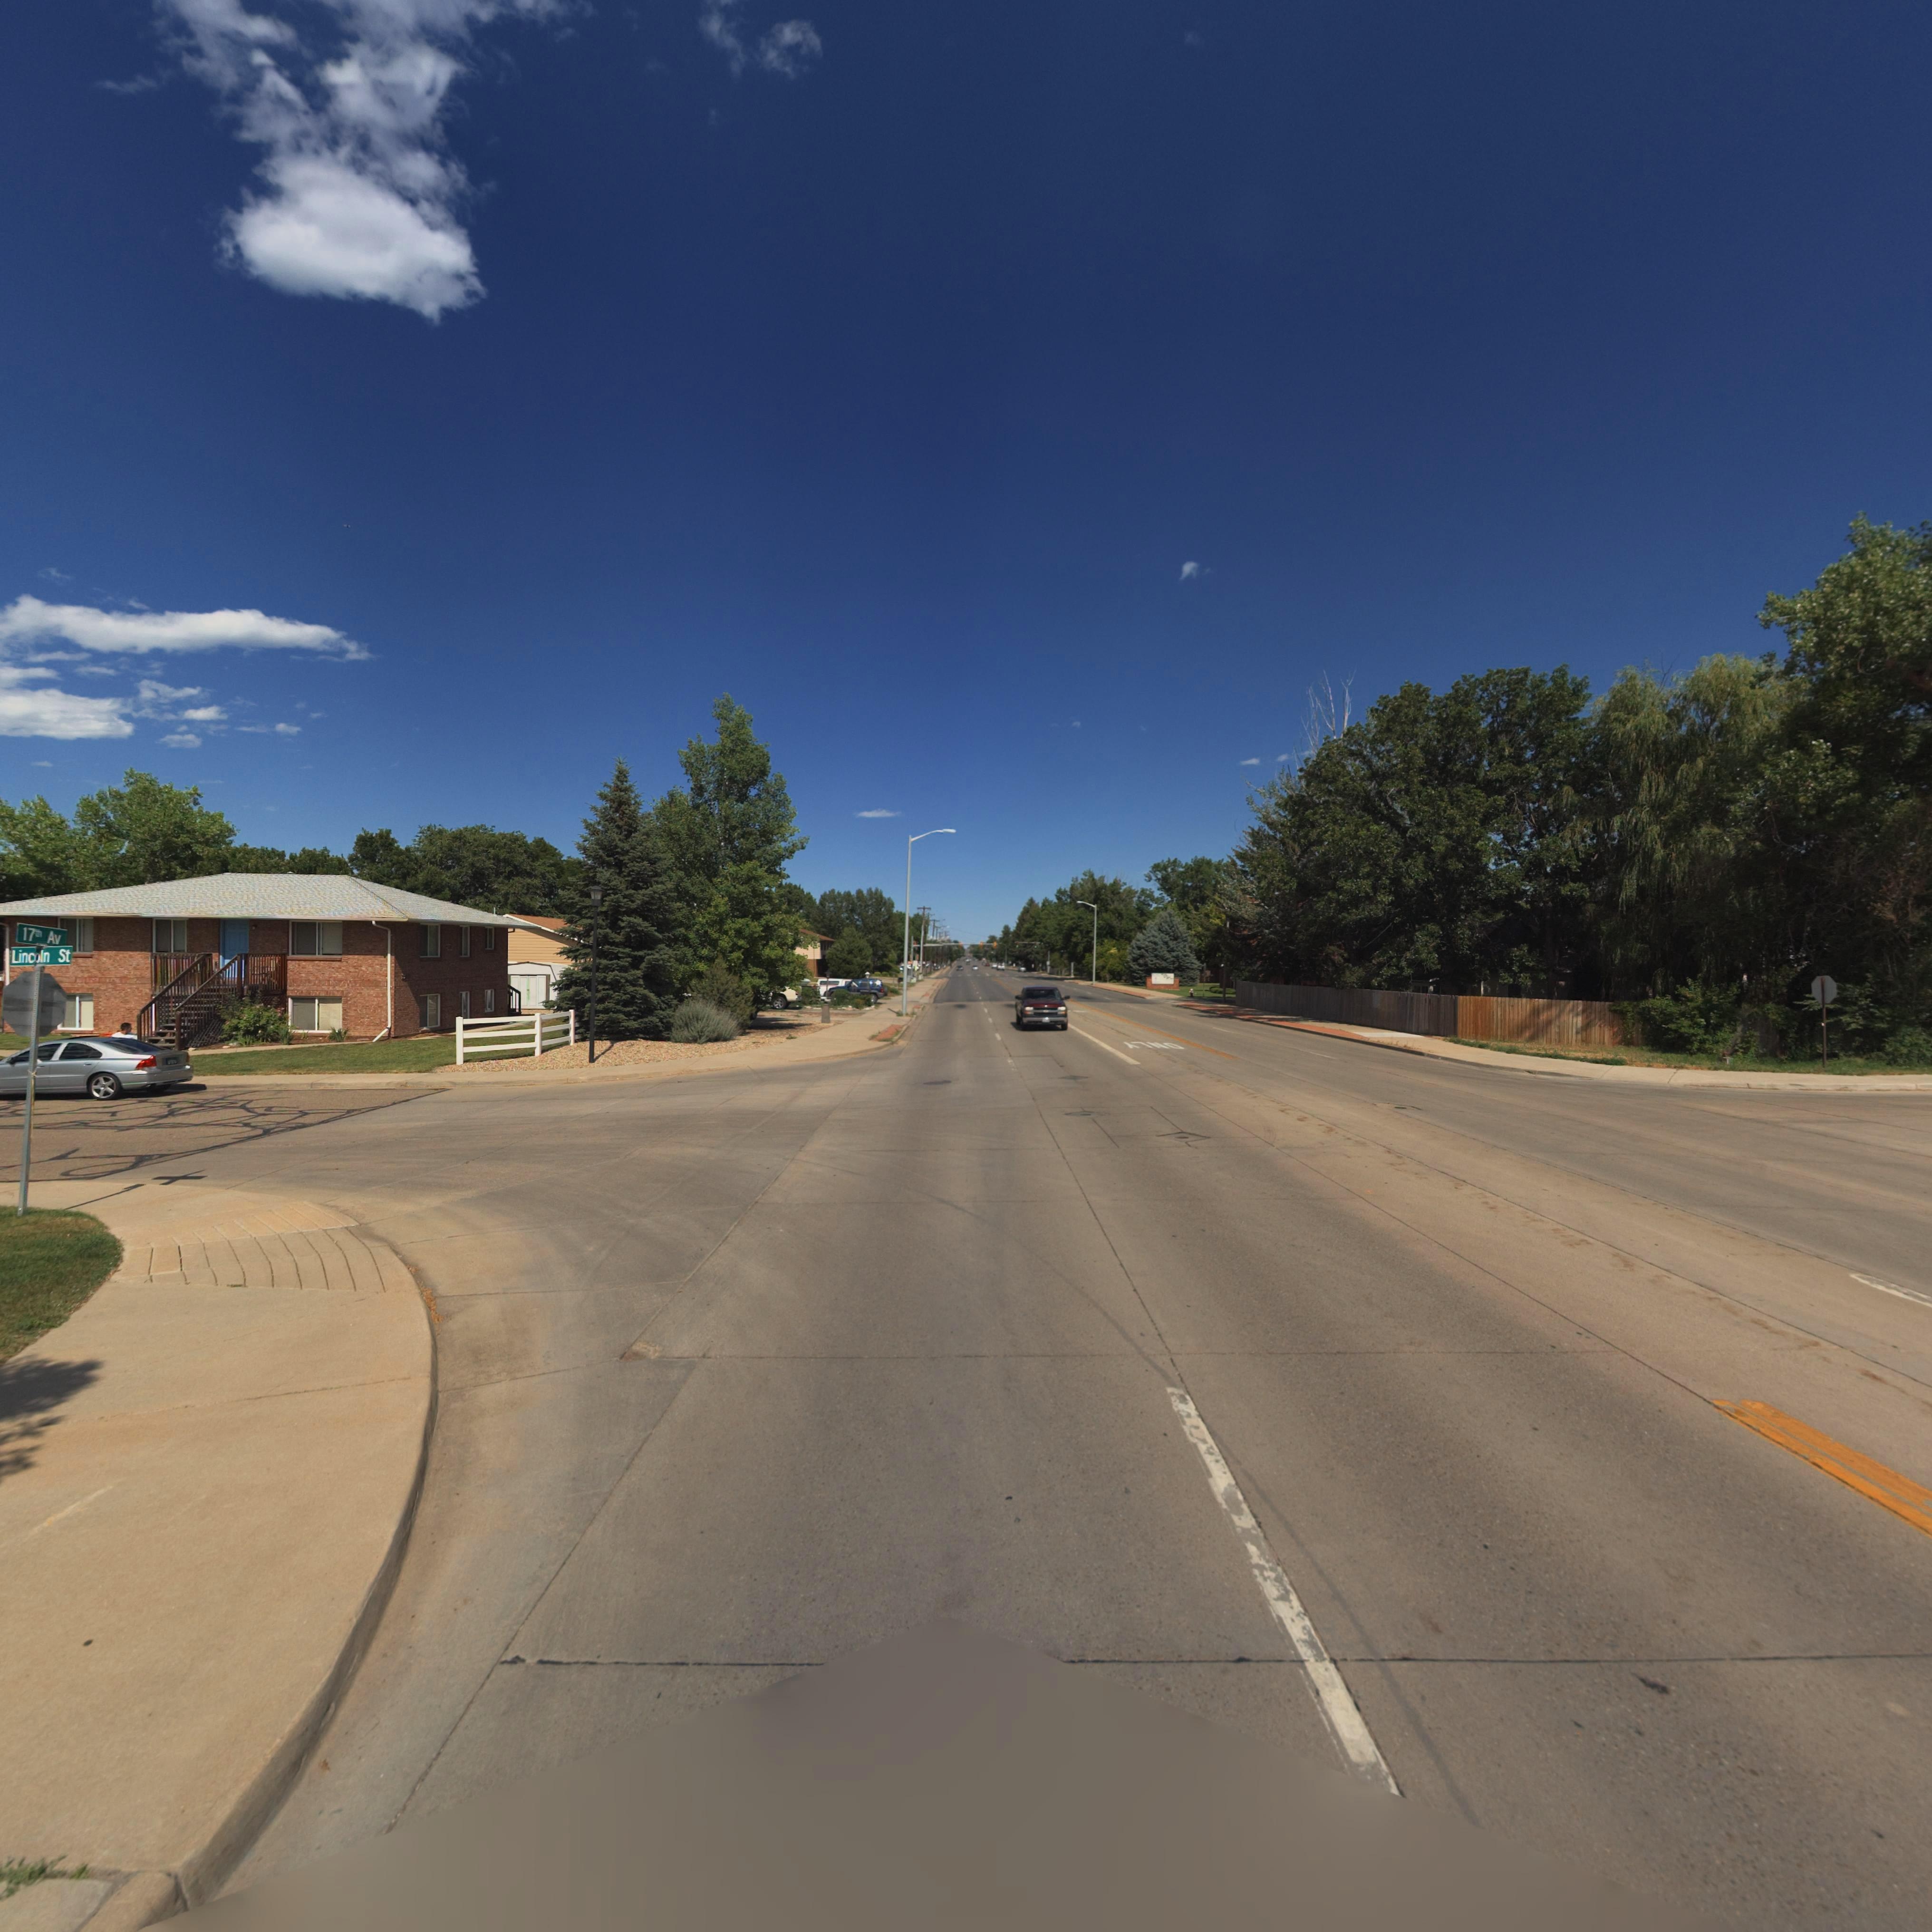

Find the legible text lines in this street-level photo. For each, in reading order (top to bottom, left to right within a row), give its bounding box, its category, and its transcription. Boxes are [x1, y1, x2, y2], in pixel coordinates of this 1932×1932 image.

[22, 927, 62, 945] StreetName: 17th Av
[11, 948, 71, 964] StreetName: Lincoln St